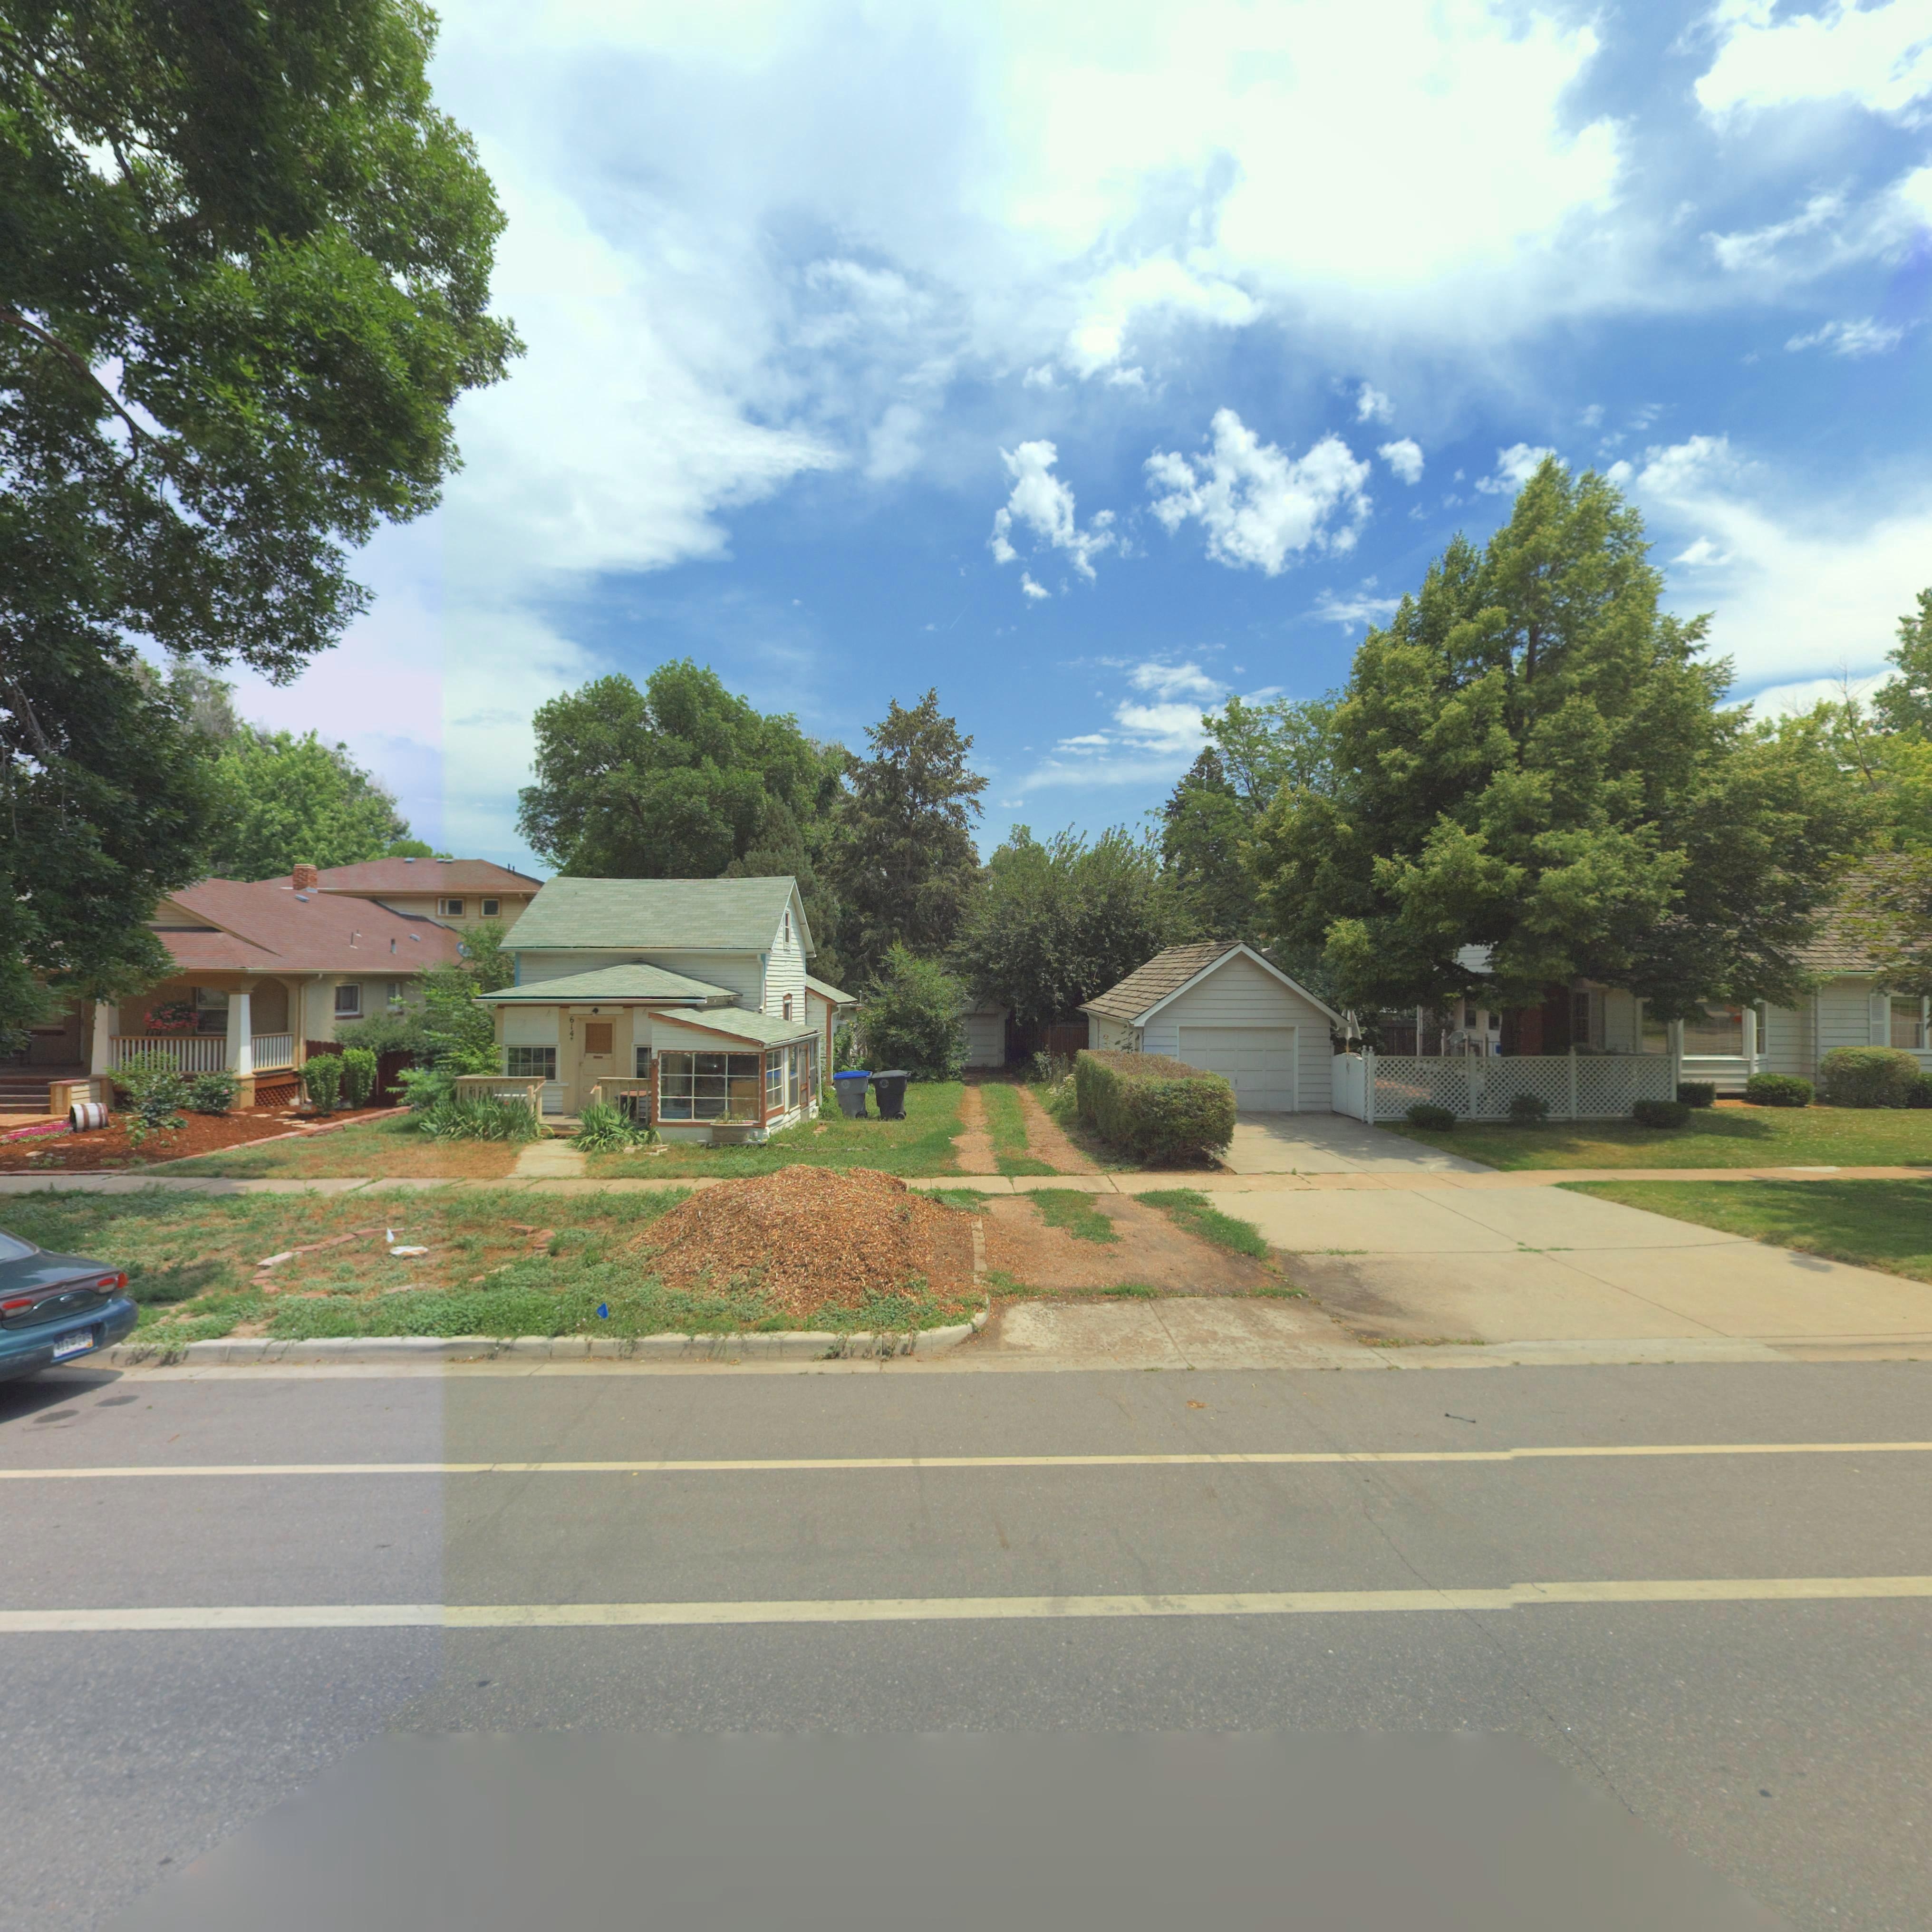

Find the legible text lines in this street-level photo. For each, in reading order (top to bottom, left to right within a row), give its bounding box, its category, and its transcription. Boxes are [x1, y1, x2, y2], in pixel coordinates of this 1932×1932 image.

[569, 1015, 574, 1036] StreetNumber: 614